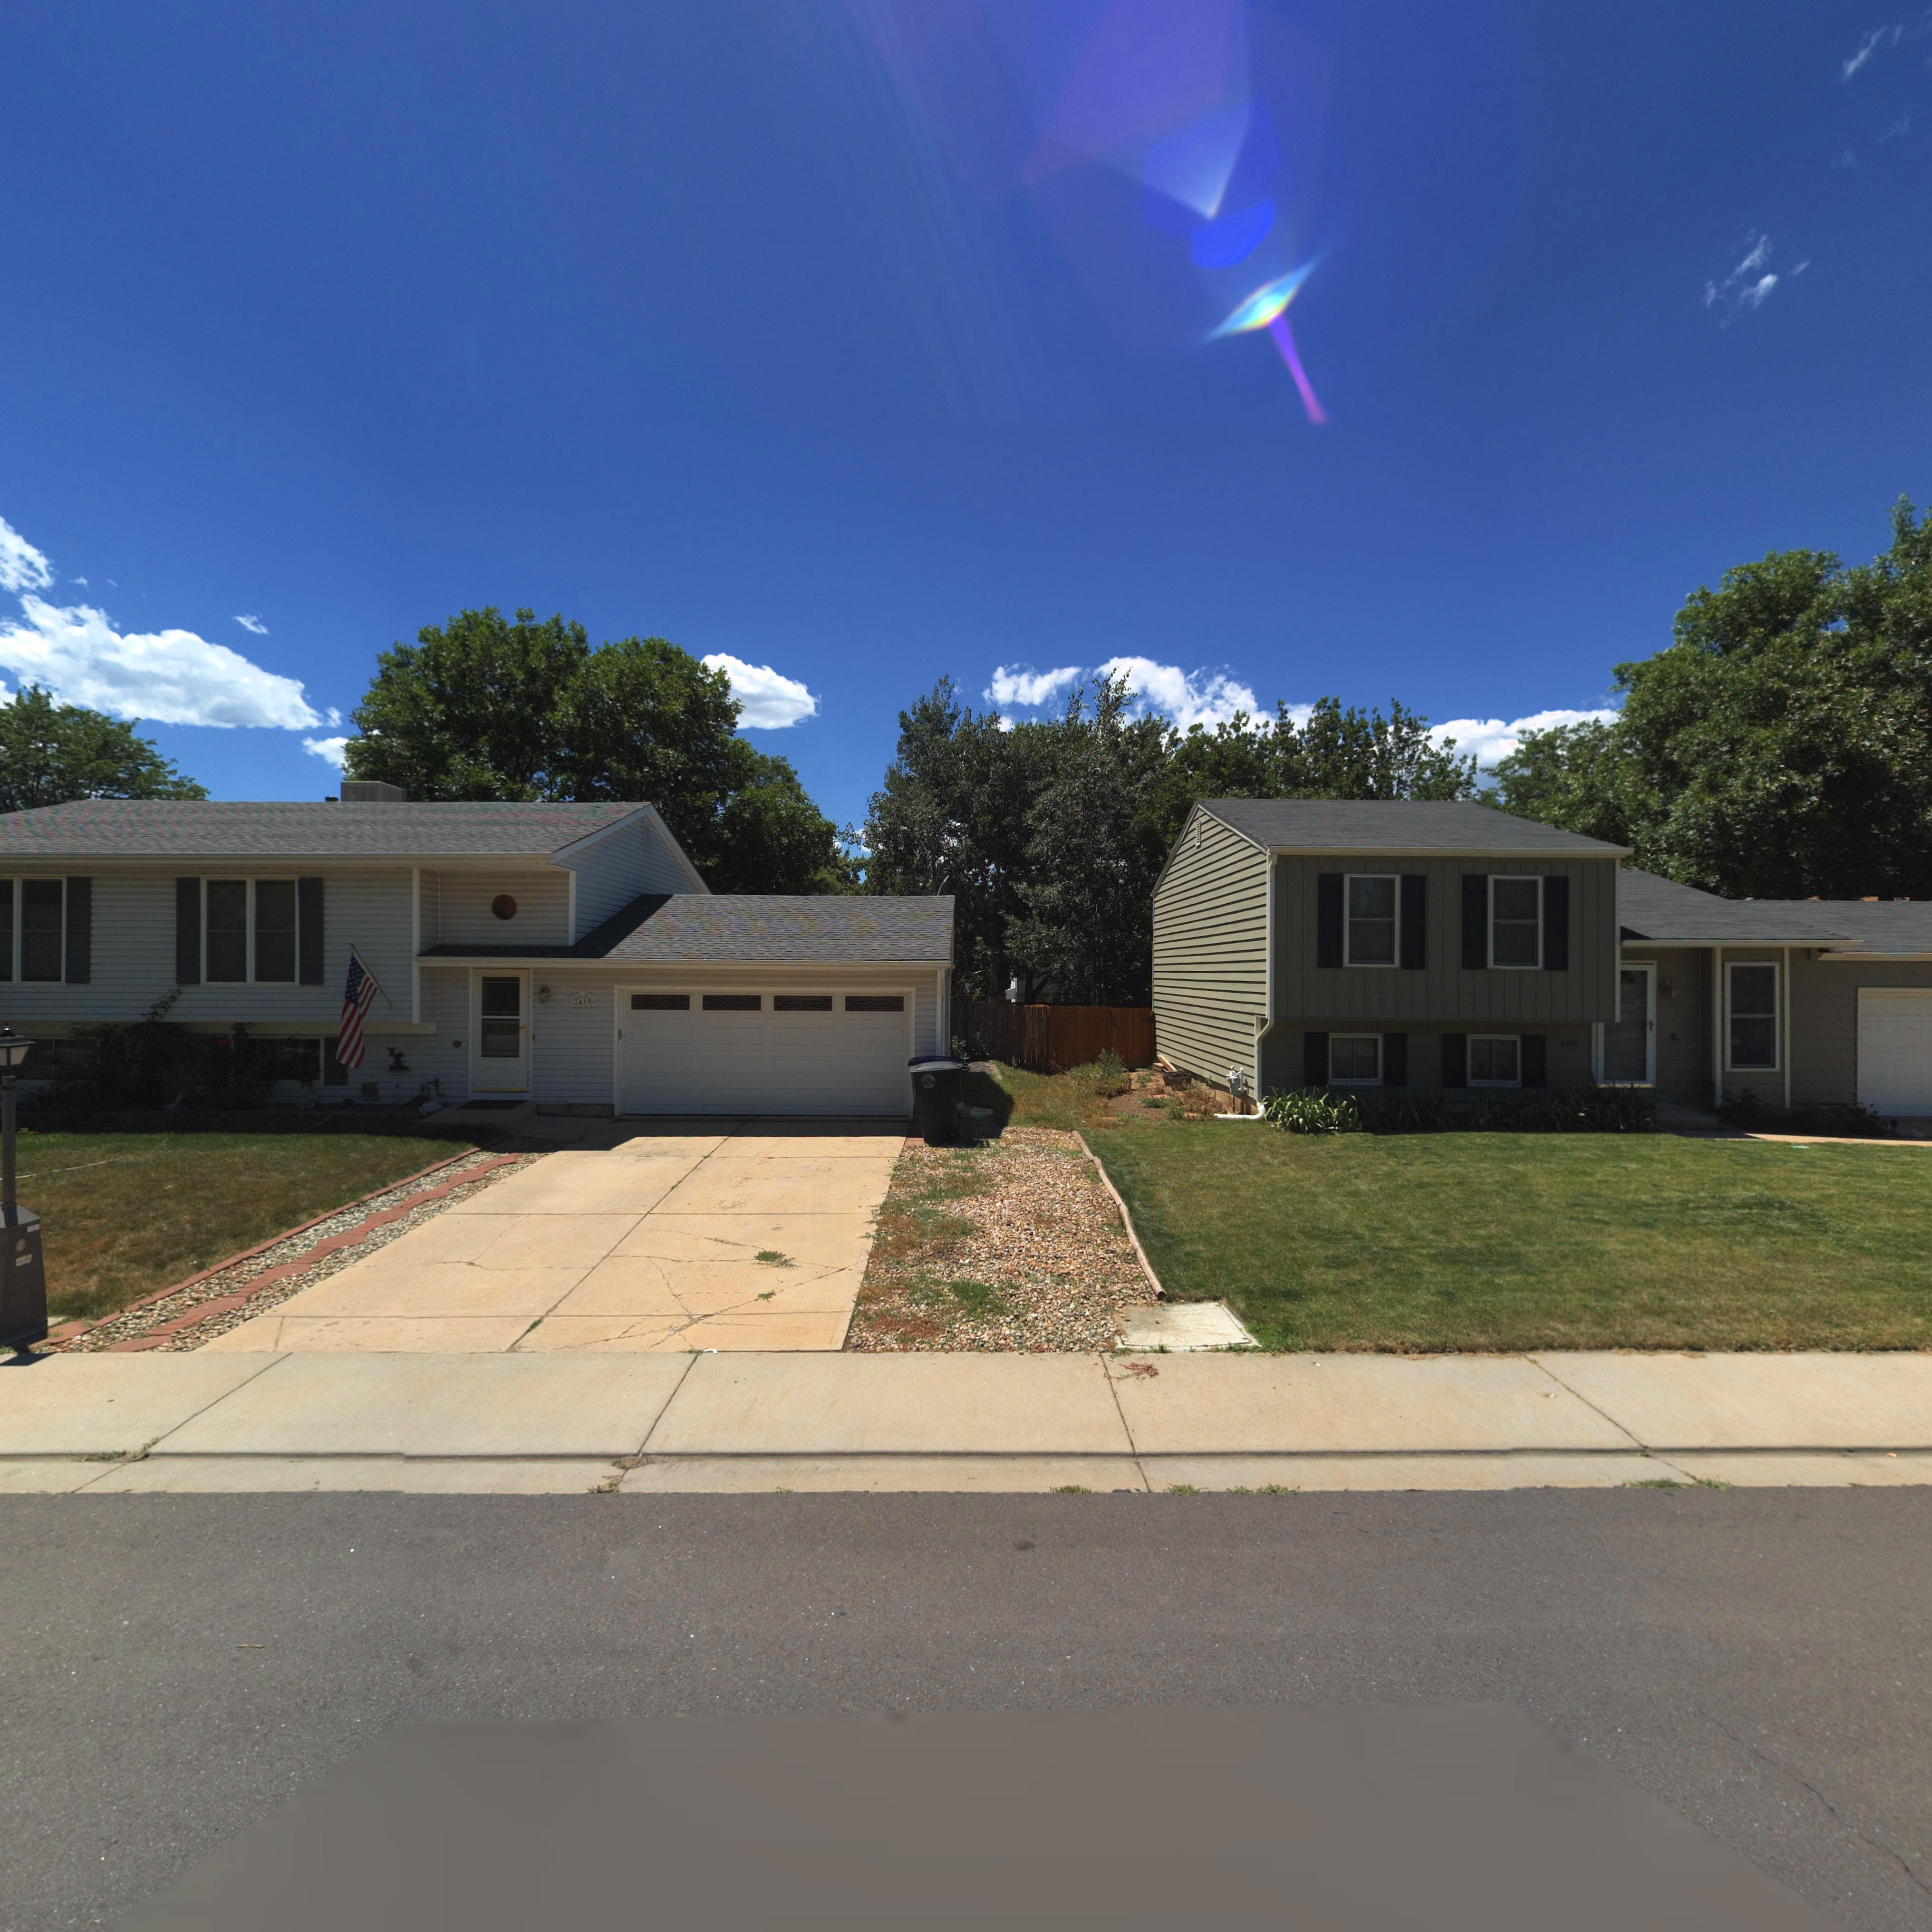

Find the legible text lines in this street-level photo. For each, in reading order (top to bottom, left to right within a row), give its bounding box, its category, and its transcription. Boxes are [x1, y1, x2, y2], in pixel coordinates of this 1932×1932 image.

[574, 998, 591, 1005] StreetNumber: 2419
[1561, 1039, 1578, 1046] StreetNumber: 2429